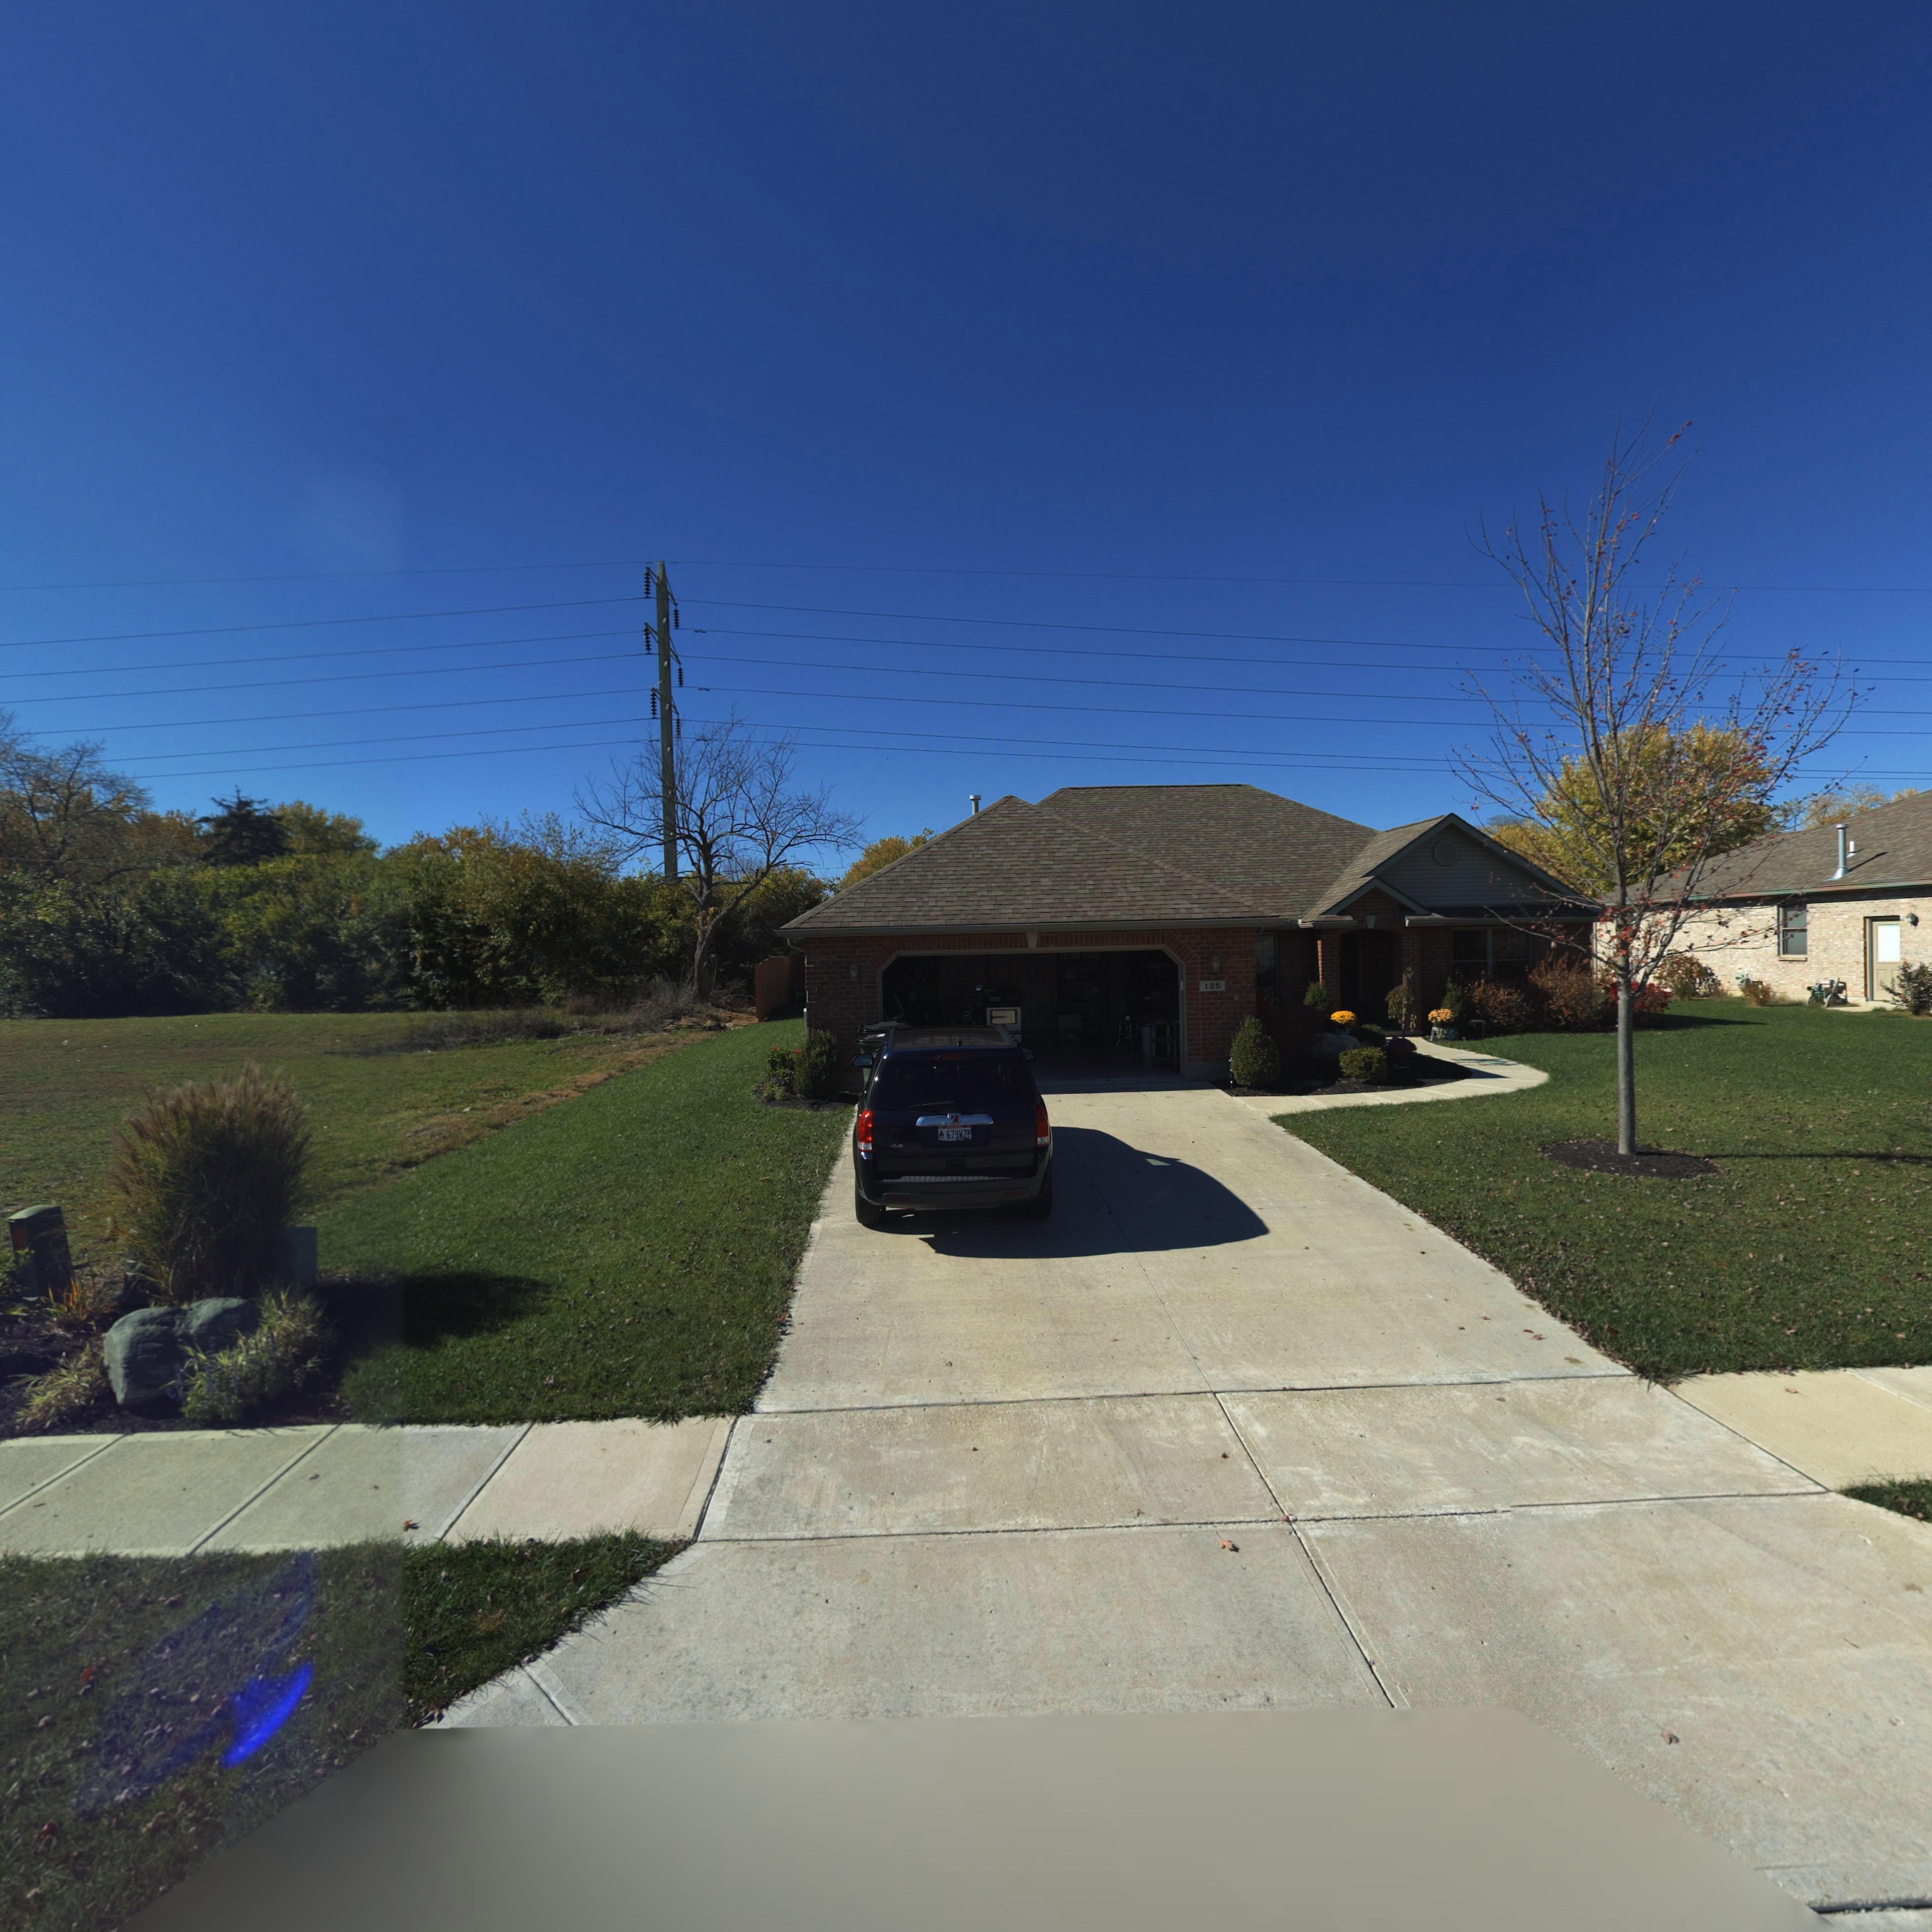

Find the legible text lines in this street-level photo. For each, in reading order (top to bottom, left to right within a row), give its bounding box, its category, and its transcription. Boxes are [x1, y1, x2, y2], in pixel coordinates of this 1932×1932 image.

[1204, 982, 1222, 990] StreetNumber: 125